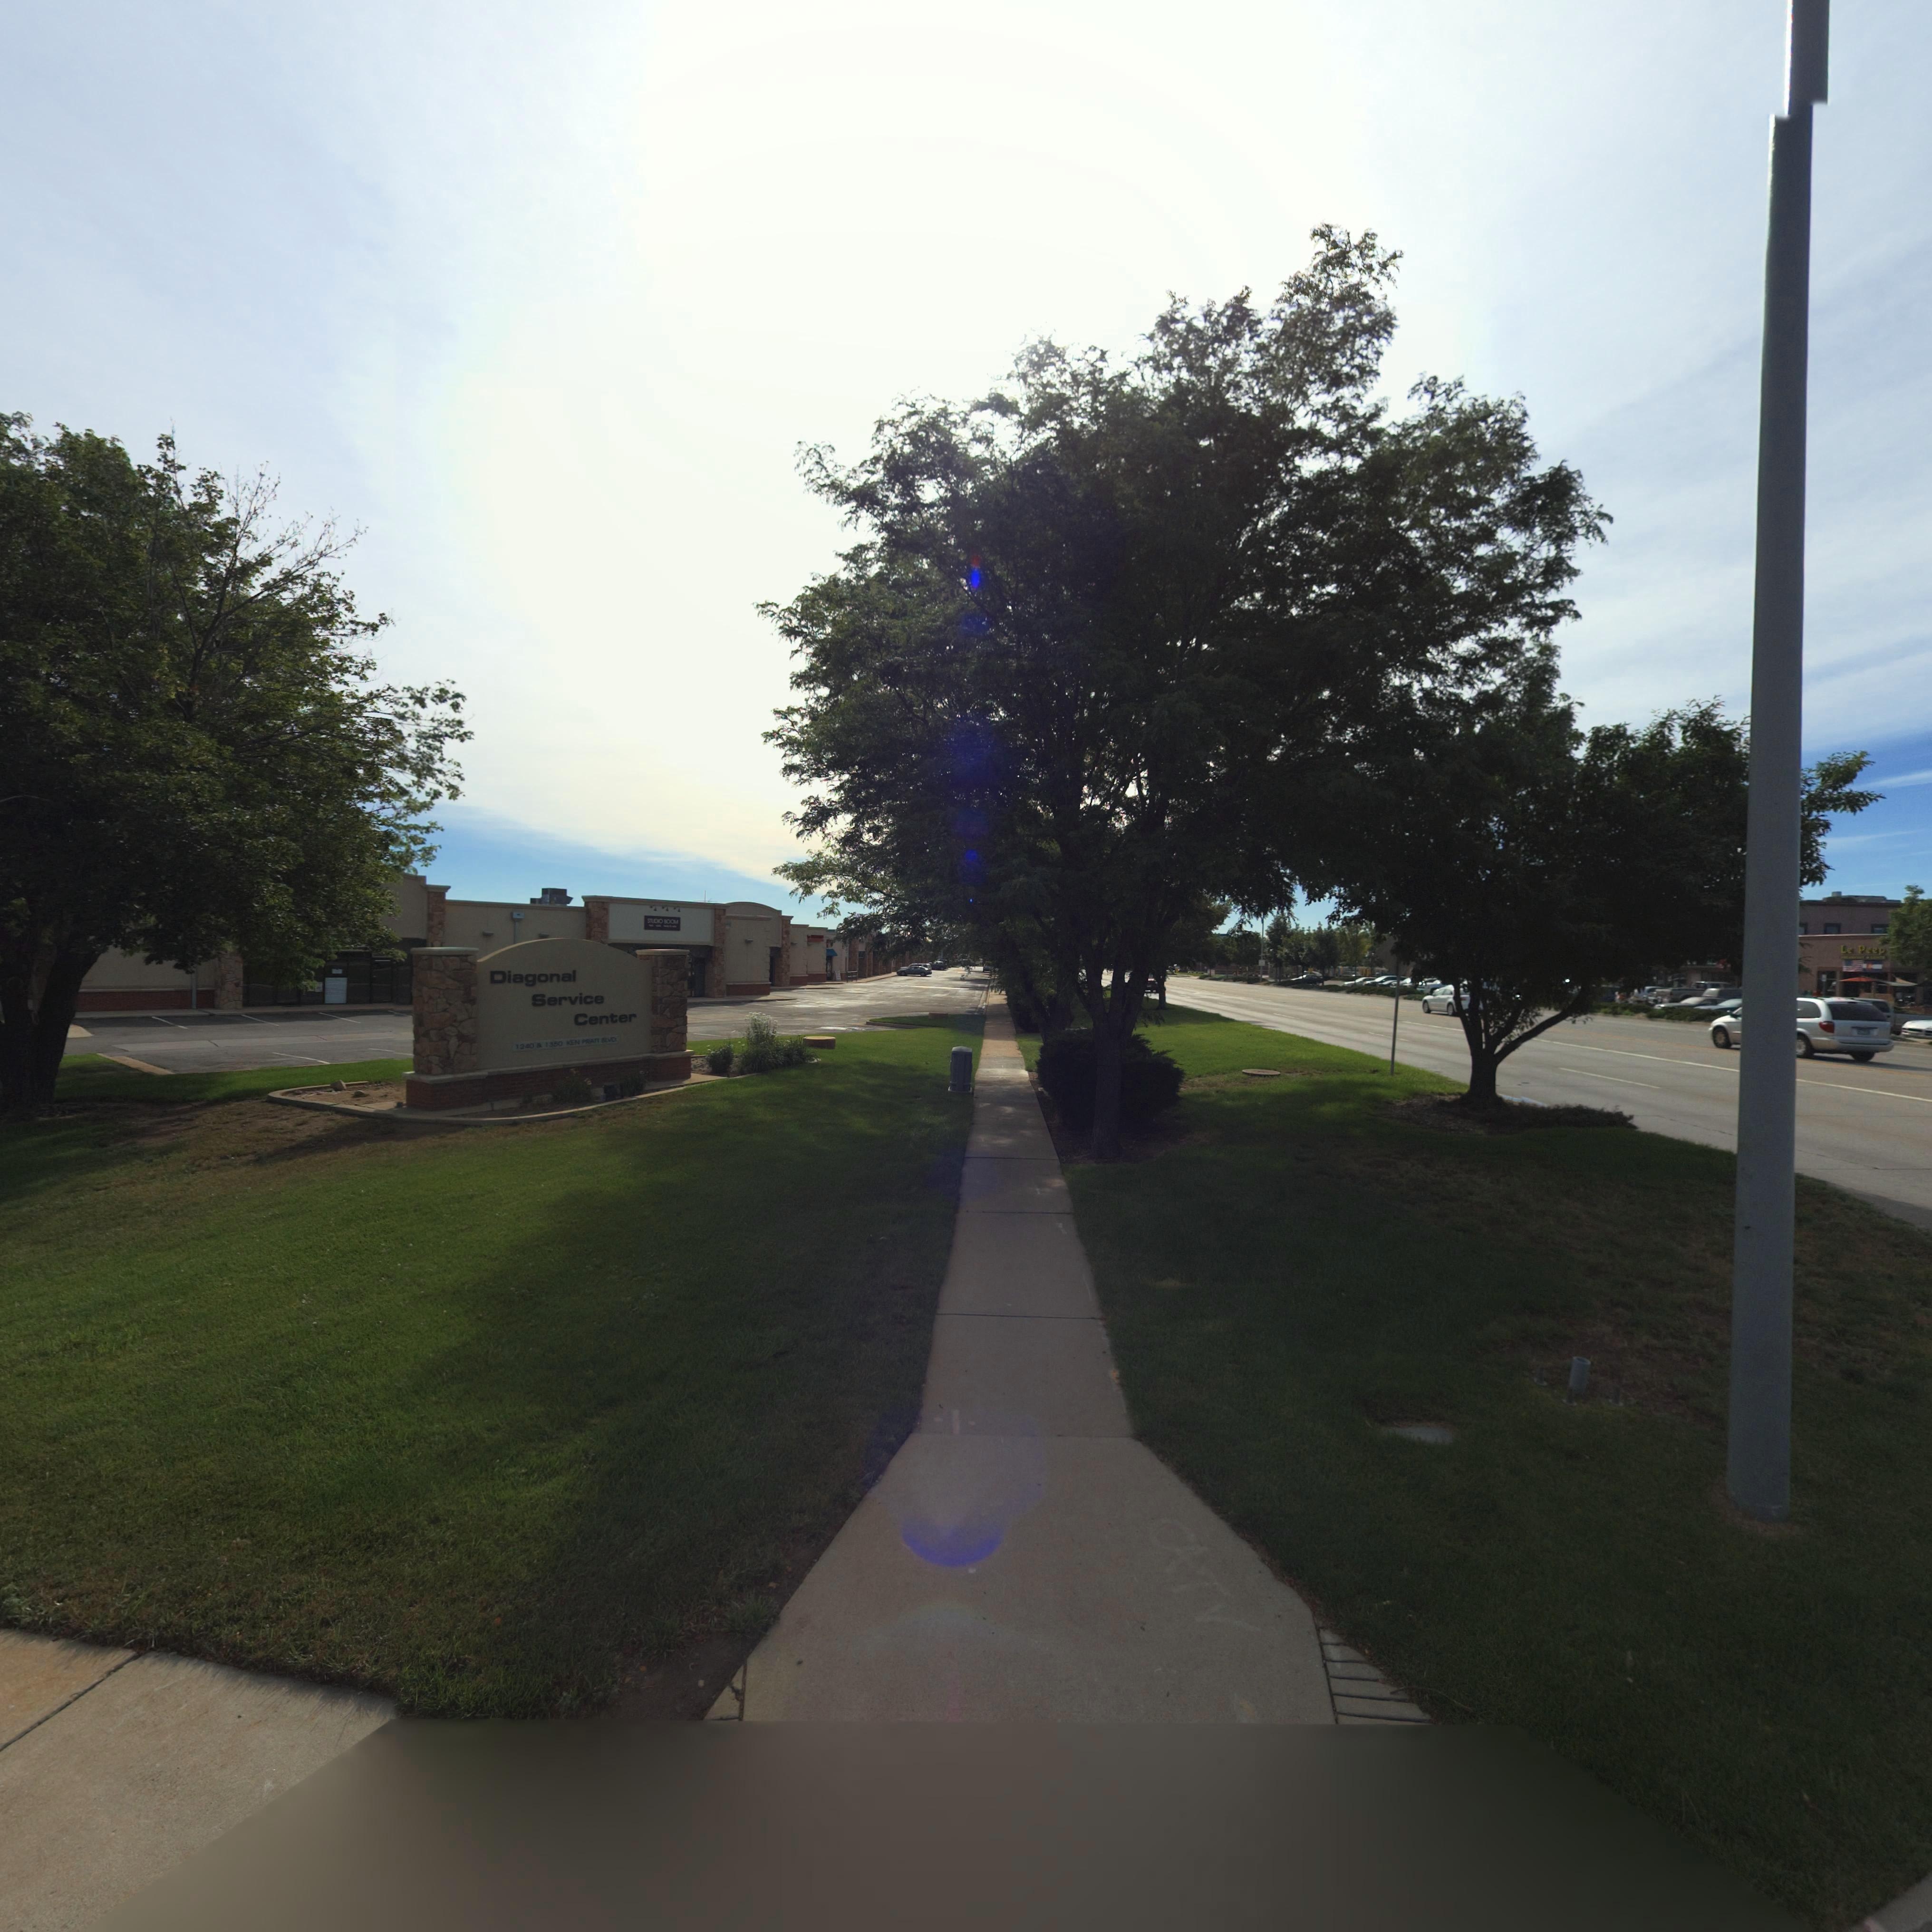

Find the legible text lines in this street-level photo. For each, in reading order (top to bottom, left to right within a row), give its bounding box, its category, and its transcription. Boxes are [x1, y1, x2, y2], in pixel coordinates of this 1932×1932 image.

[647, 918, 678, 924] BusinessName: STUDIO BOOM
[1839, 944, 1887, 956] BusinessName: Le Peep
[515, 1042, 534, 1050] StreetNumber: 1240
[545, 1040, 563, 1047] StreetNumber: 1350
[566, 1036, 617, 1046] StreetName: KEN PRATT BLVD